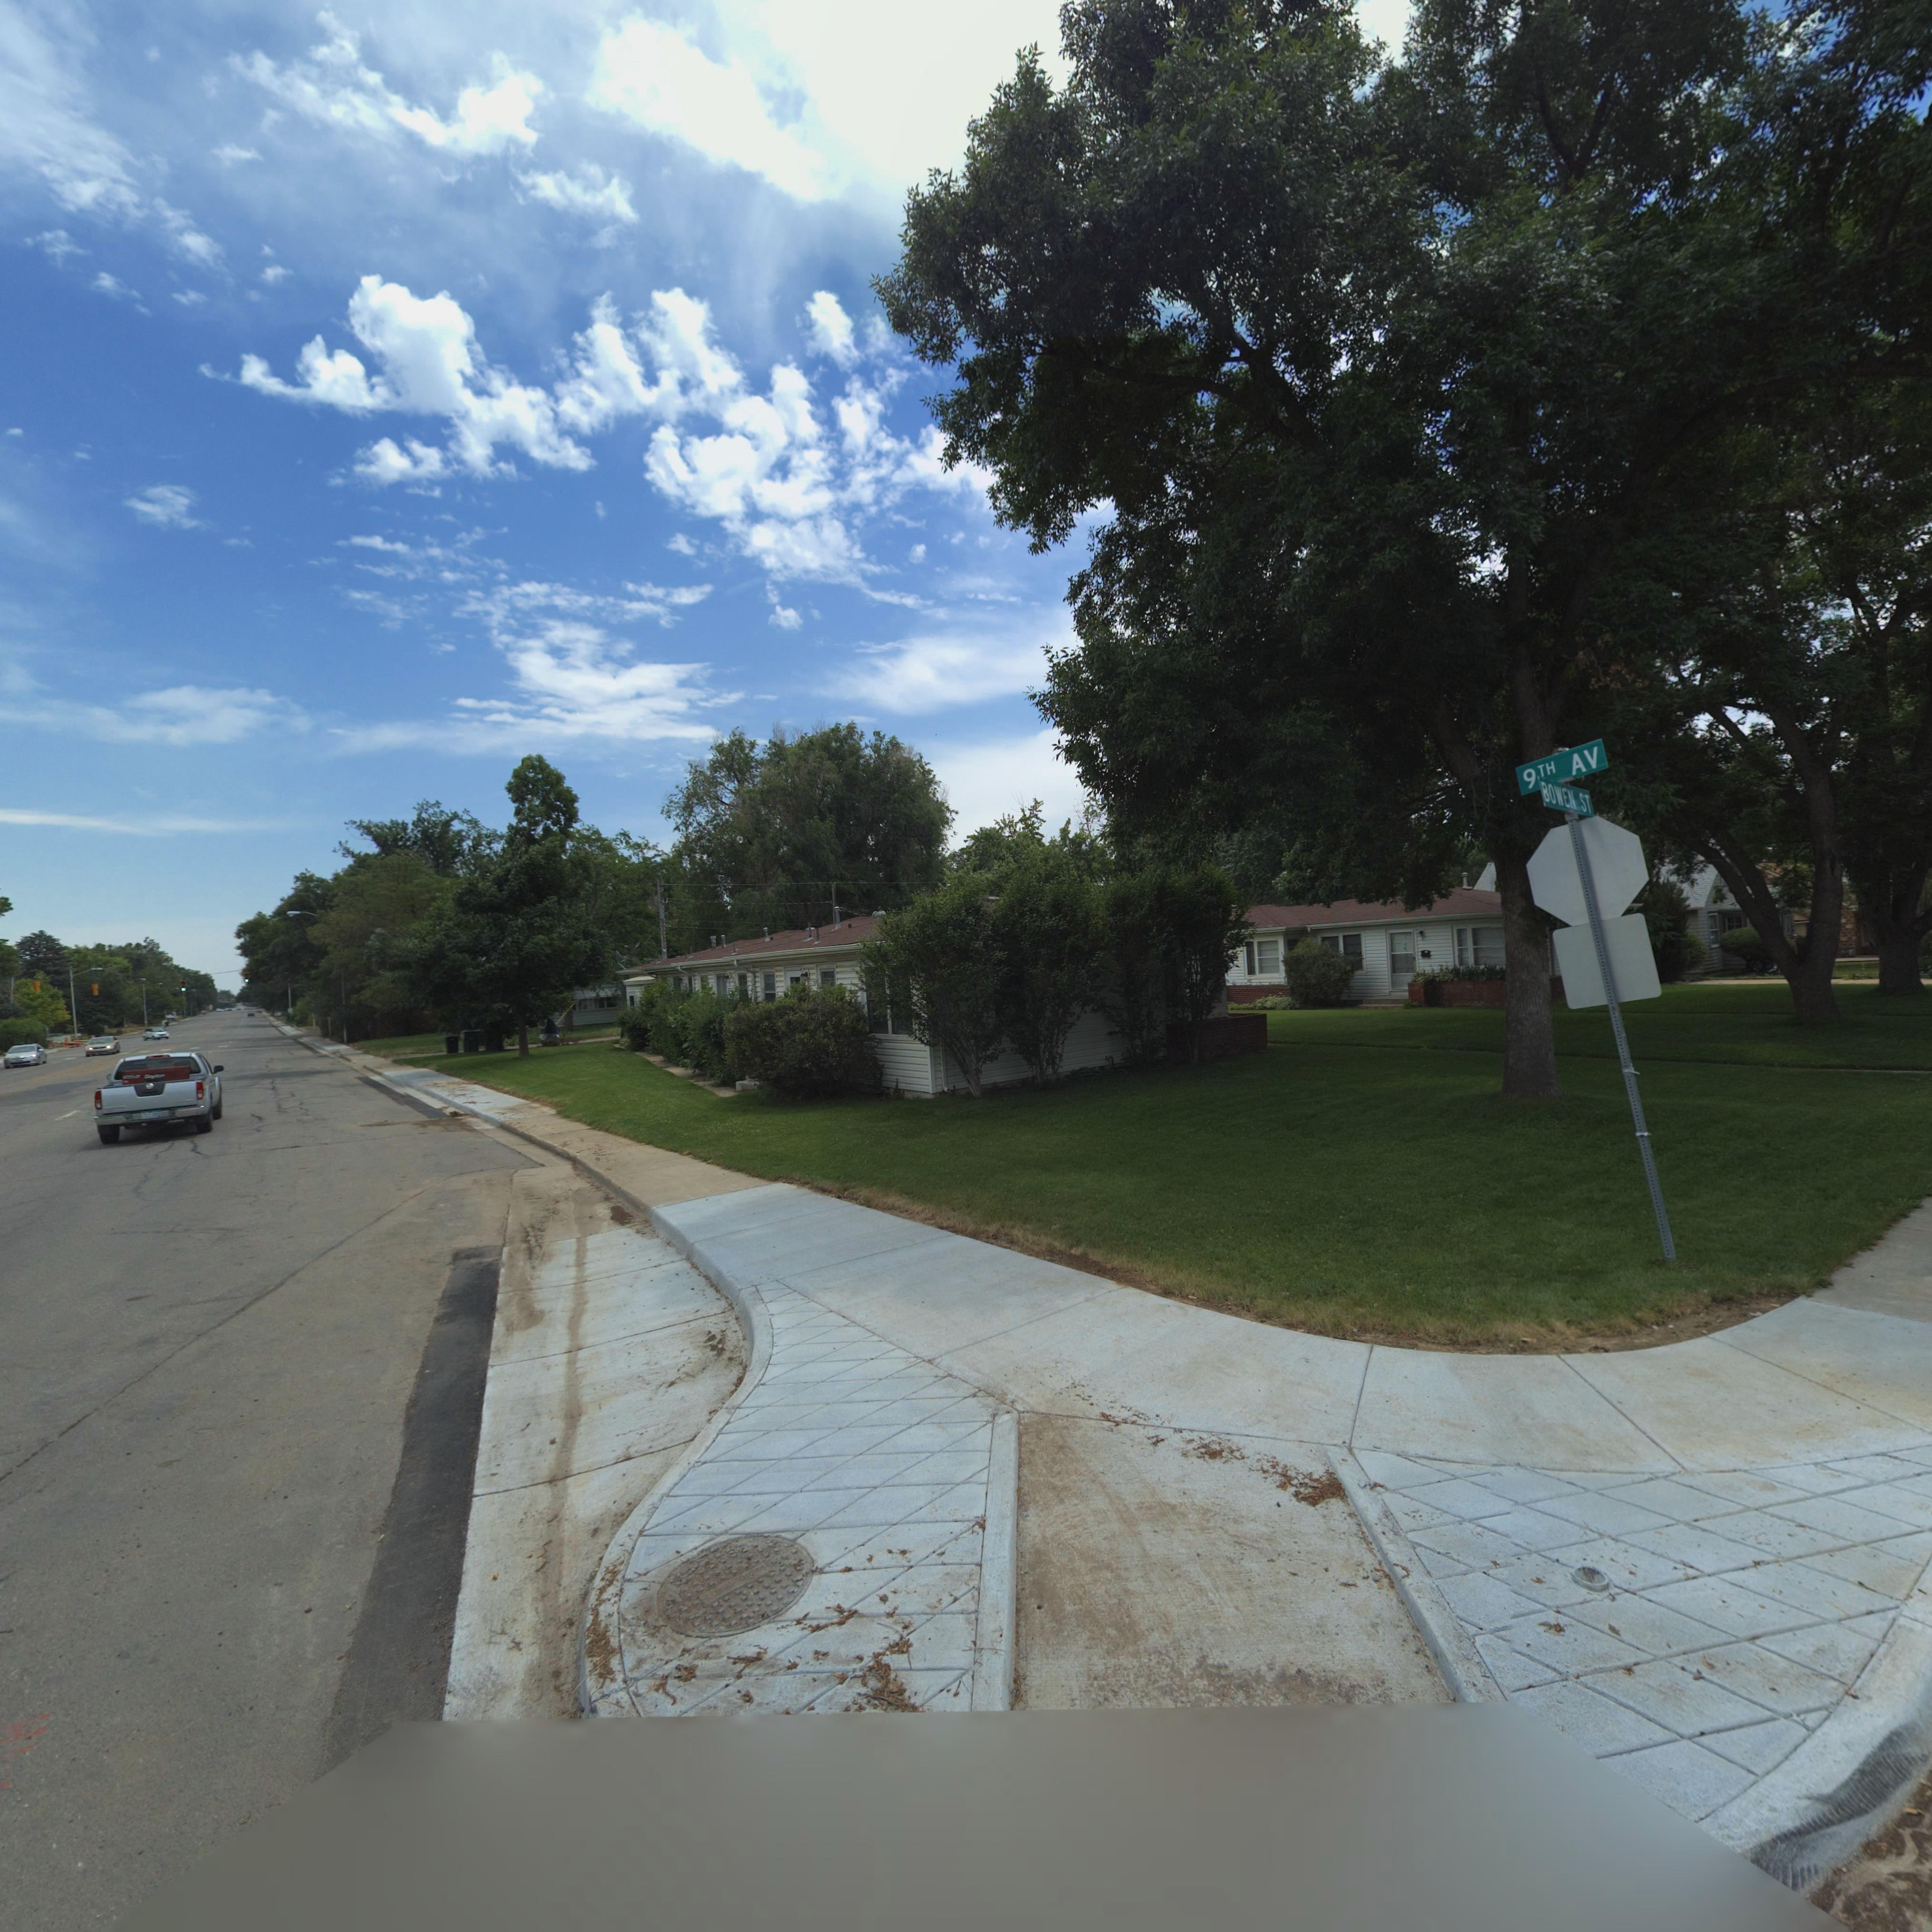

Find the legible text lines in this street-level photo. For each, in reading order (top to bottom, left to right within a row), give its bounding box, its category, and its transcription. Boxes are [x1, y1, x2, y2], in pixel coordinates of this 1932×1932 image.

[1522, 746, 1603, 790] StreetName: 9TH AV
[1539, 780, 1593, 815] StreetName: BOWEN ST